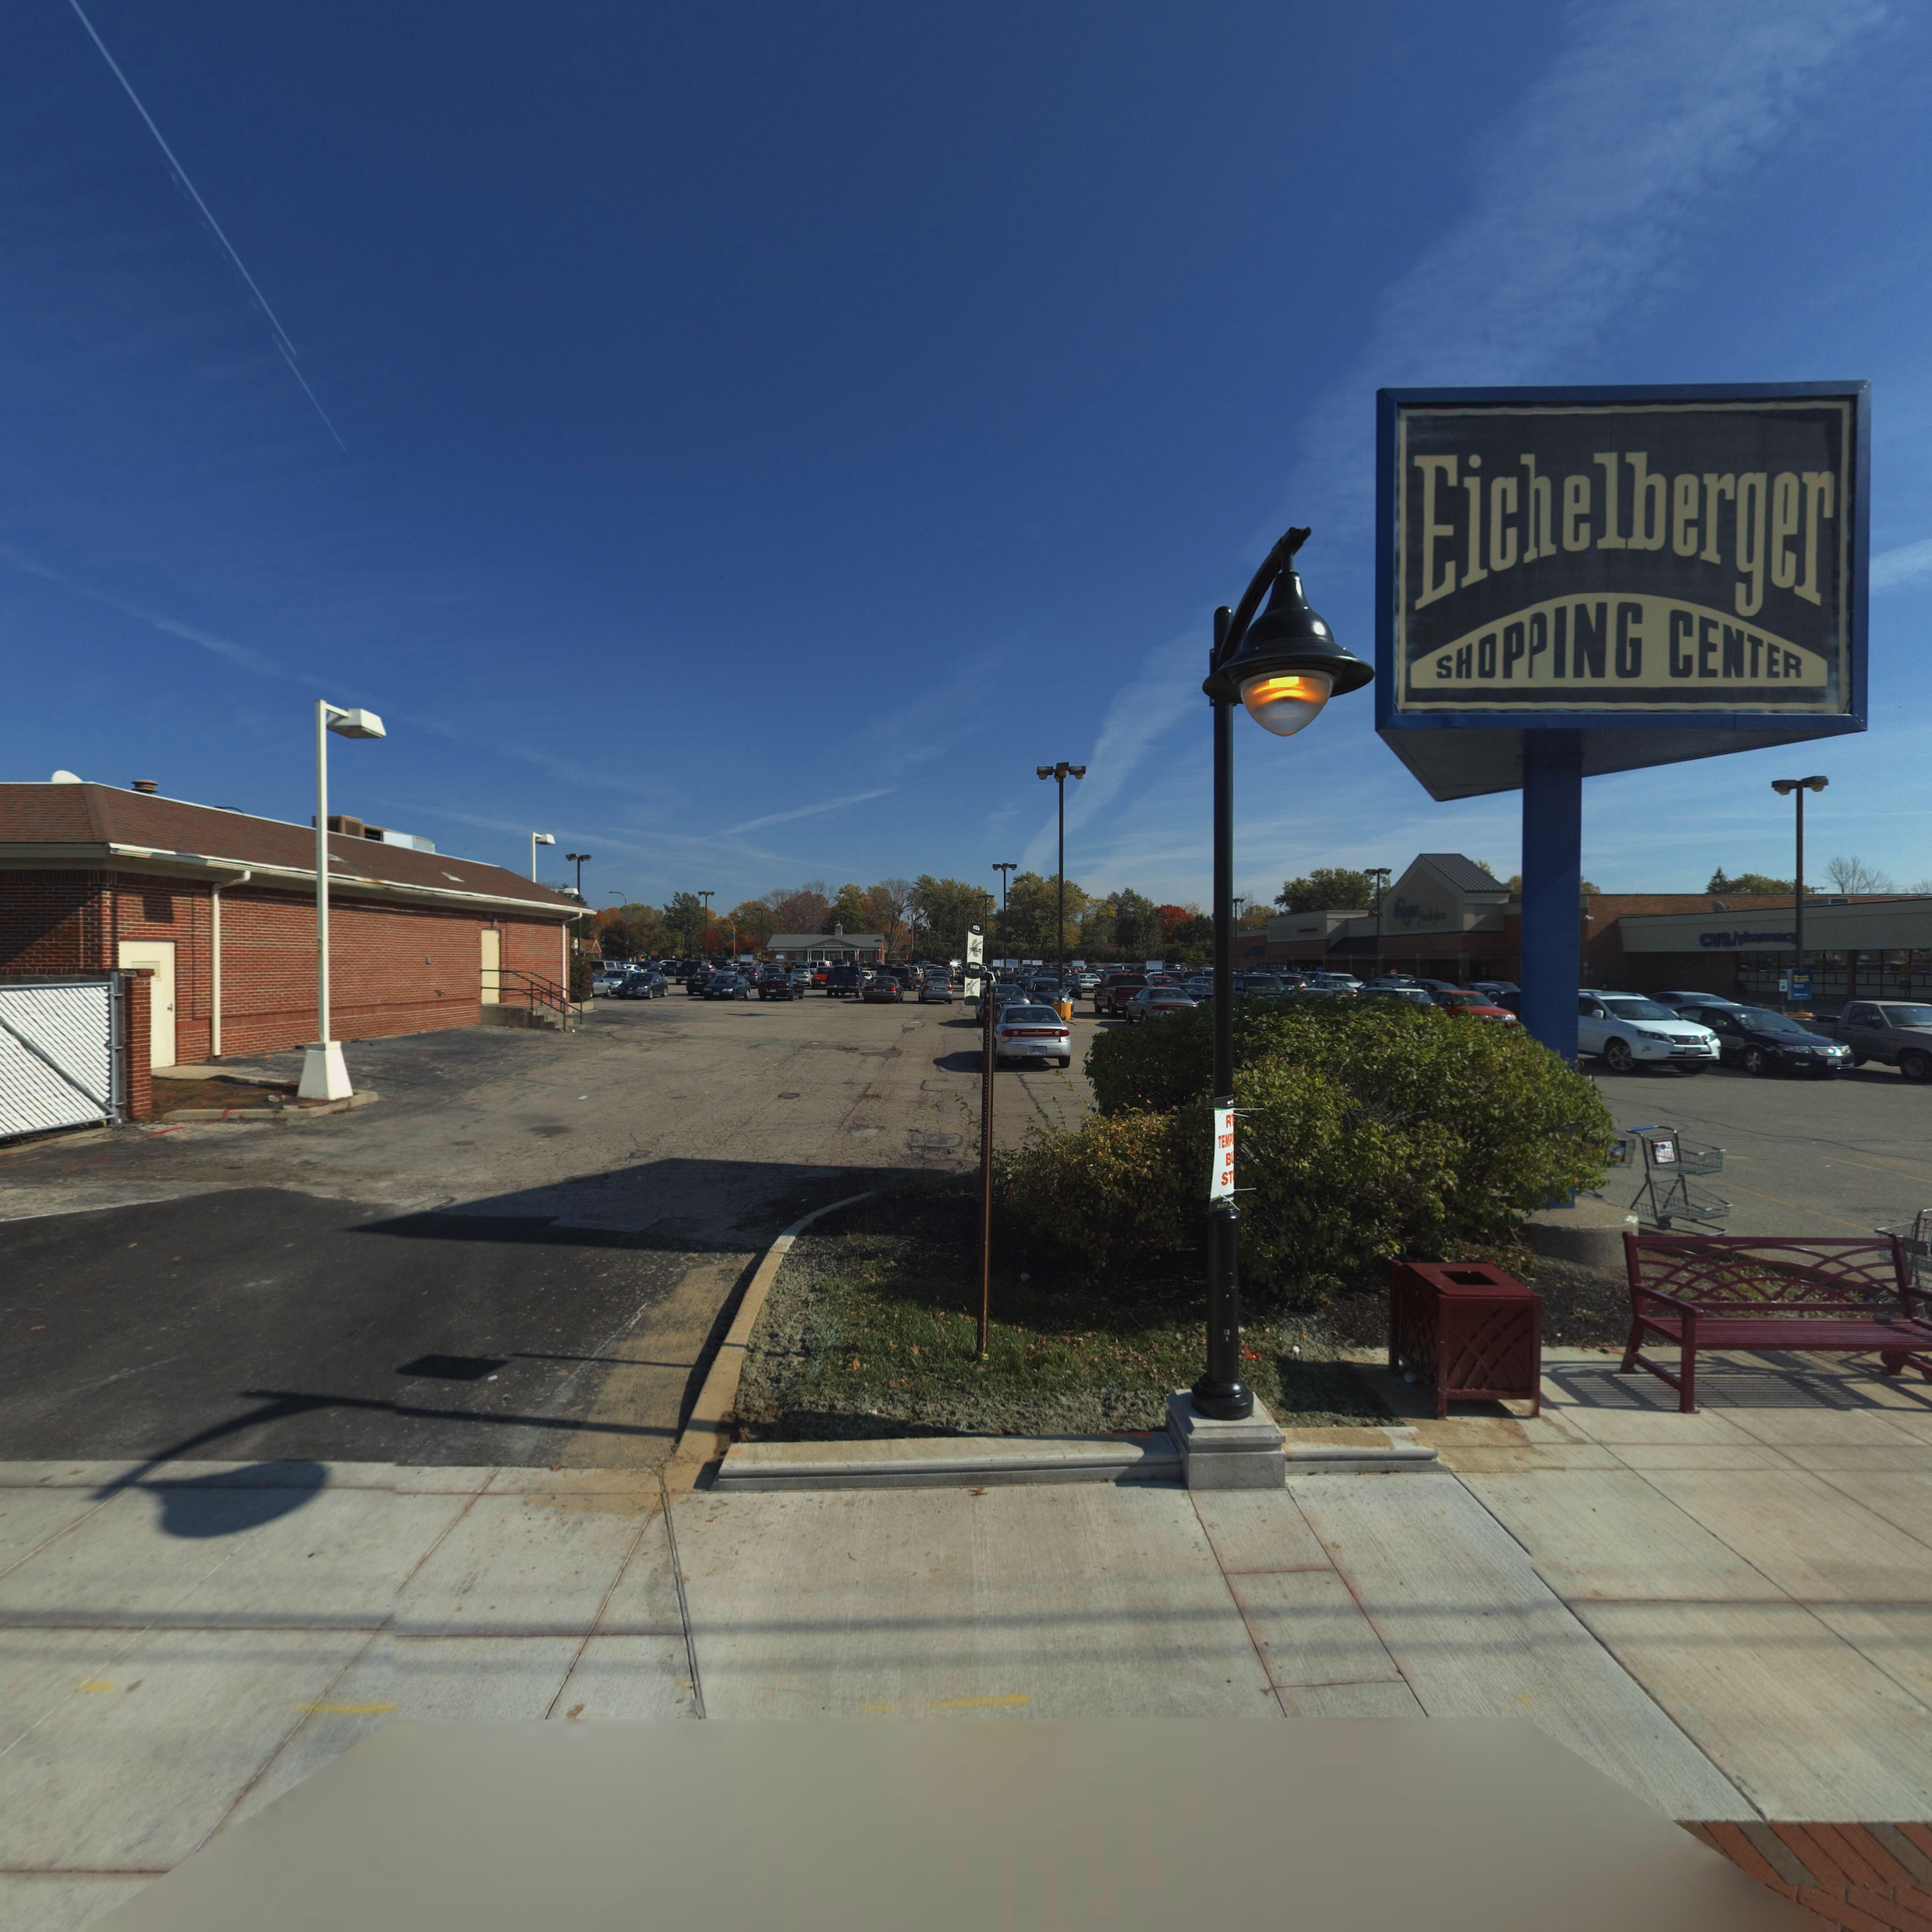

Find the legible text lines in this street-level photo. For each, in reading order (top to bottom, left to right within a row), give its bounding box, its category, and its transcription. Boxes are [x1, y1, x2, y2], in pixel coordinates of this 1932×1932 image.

[1413, 450, 1836, 618] None: Eichelberger
[1434, 602, 1803, 680] None: SHOPPING CENTER
[972, 924, 980, 931] None: rta
[1698, 930, 1792, 948] BusinessName: CVS/pharmac
[1225, 1114, 1232, 1129] None: R
[1217, 1132, 1233, 1150] None: TEMP
[1226, 1152, 1231, 1167] None: B
[1220, 1169, 1233, 1186] None: ST